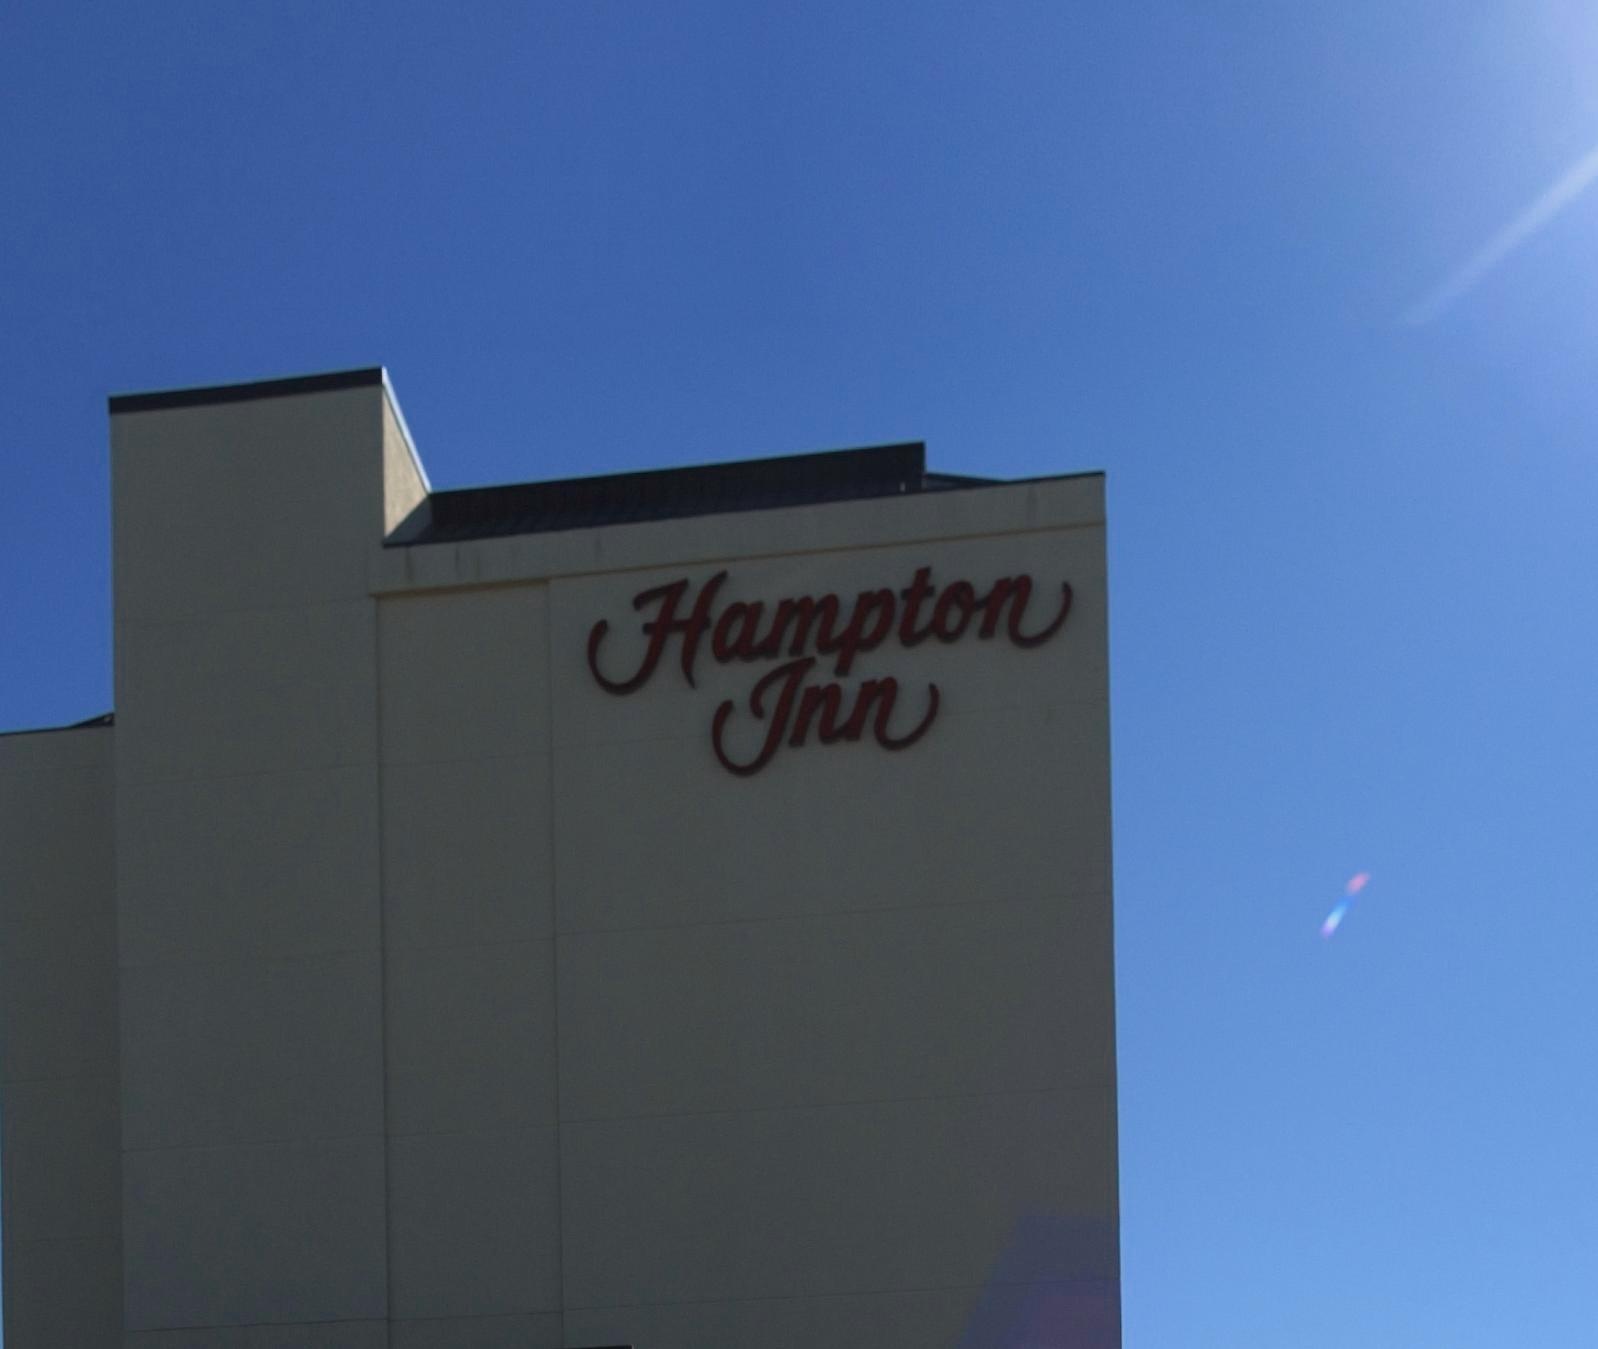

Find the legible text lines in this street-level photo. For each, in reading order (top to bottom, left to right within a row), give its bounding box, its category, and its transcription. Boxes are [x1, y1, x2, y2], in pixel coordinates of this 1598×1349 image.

[585, 565, 1077, 698] BusinessName: Hampton
[708, 653, 942, 781] BusinessName: Inn